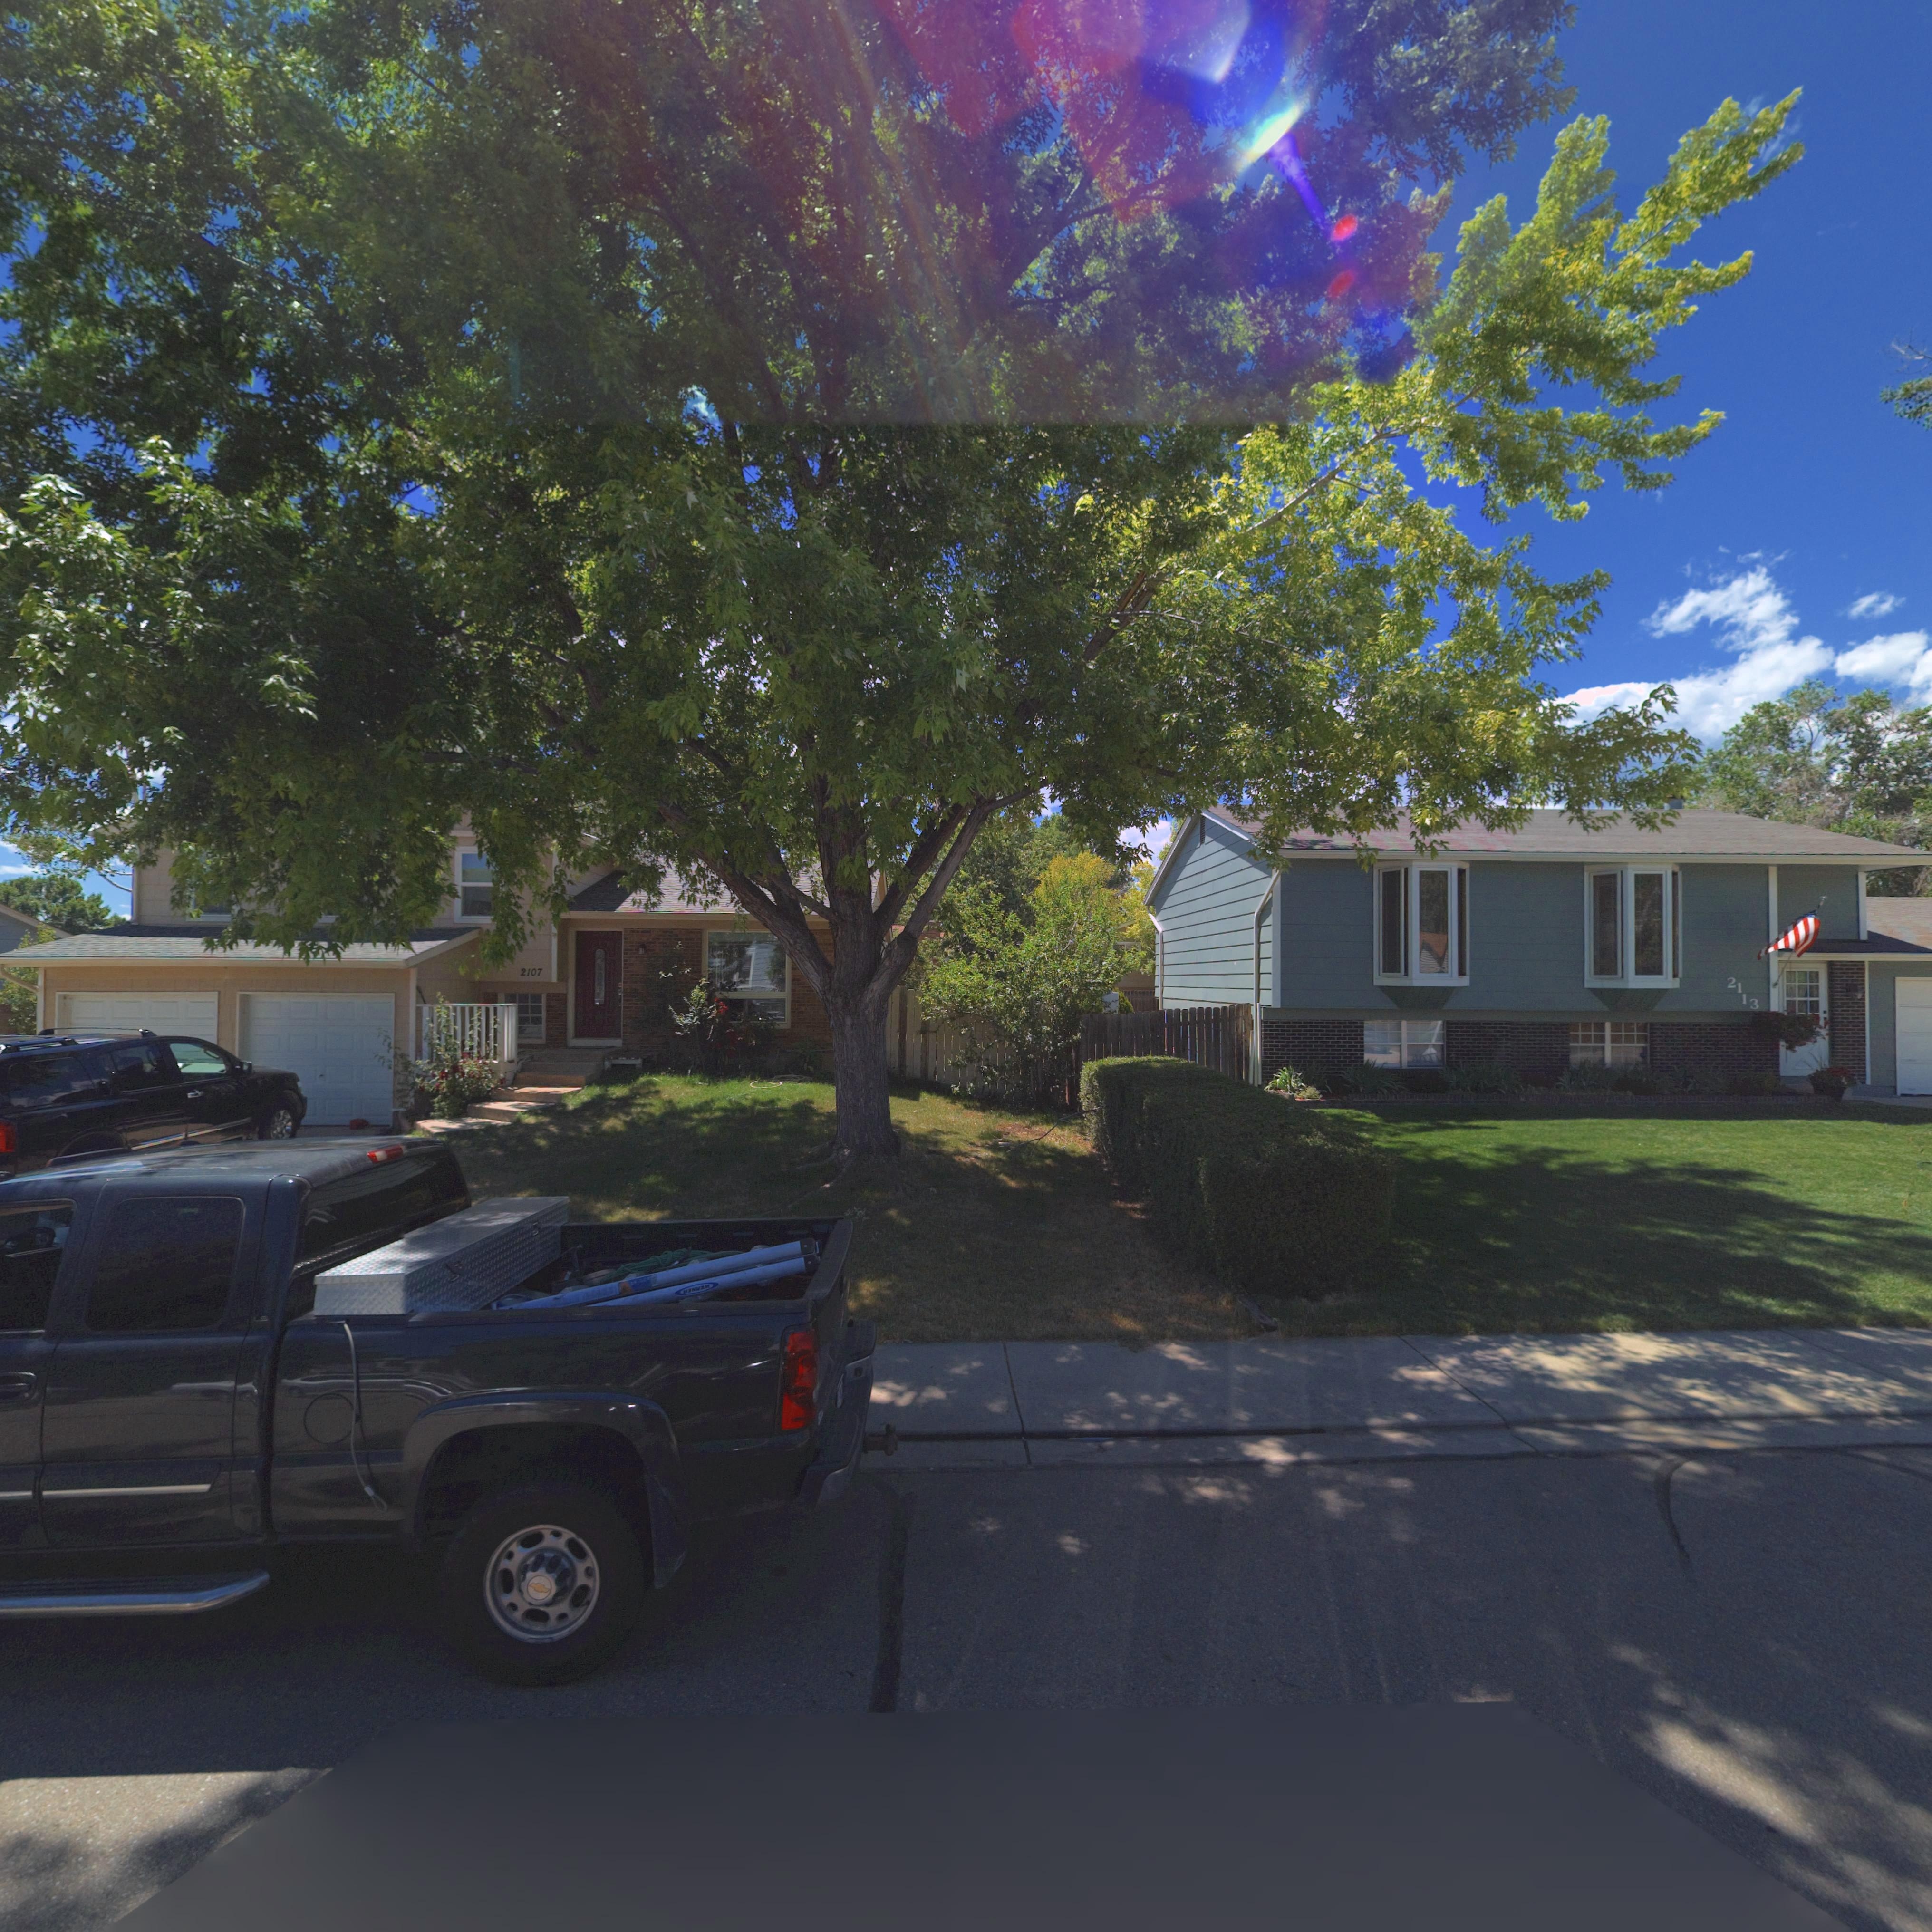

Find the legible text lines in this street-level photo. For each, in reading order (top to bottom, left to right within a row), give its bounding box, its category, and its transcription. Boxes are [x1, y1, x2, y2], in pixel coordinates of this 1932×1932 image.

[520, 967, 543, 976] StreetNumber: 2107
[1726, 976, 1760, 1010] StreetNumber: 2113